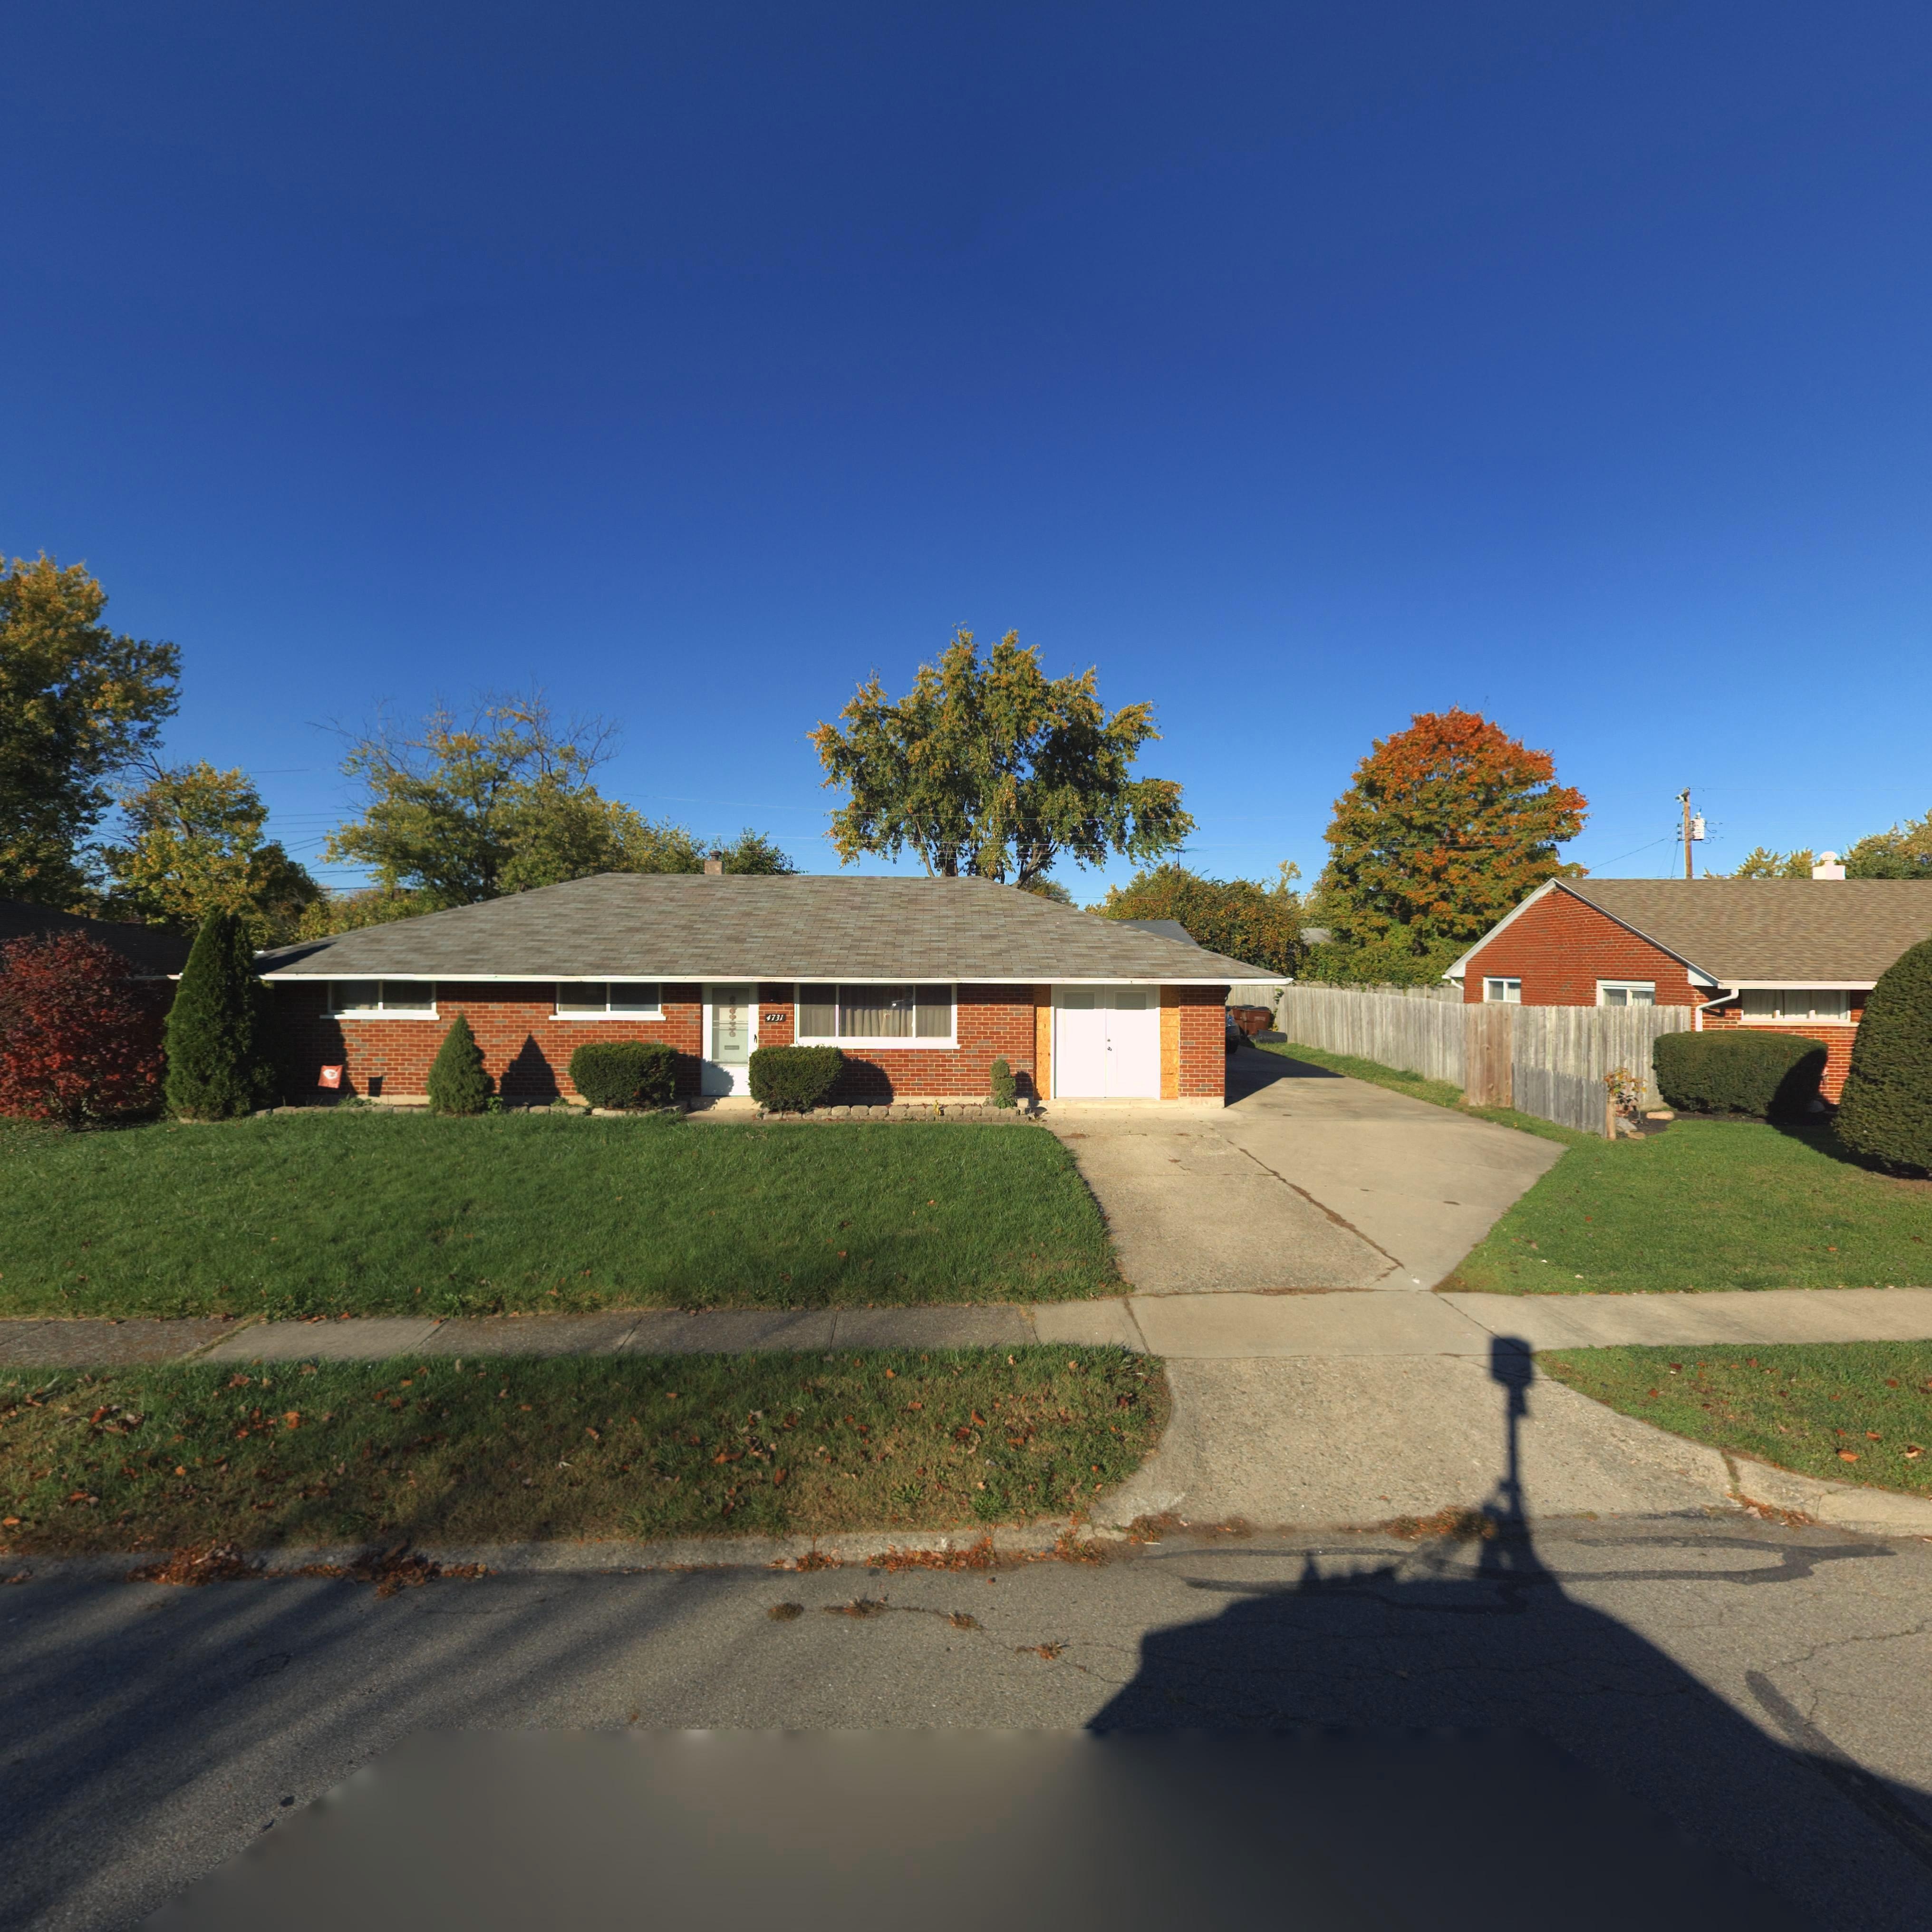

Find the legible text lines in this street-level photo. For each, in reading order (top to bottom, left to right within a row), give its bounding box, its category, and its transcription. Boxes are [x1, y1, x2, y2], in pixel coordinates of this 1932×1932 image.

[766, 1014, 784, 1021] StreetNumber: 4731